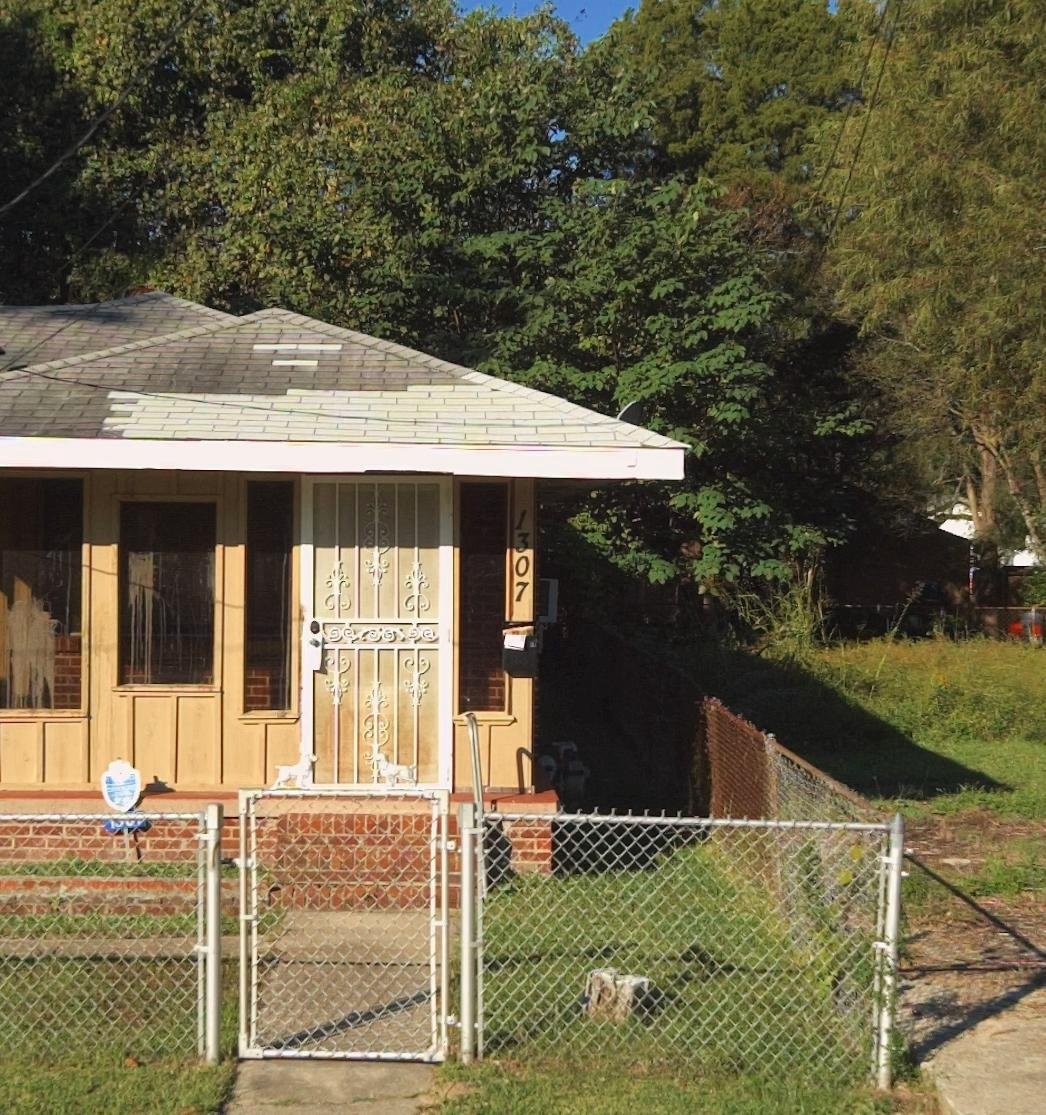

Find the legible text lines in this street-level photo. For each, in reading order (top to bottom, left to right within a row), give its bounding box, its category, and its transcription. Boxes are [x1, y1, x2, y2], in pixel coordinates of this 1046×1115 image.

[513, 507, 532, 604] StreetNumber: 1307